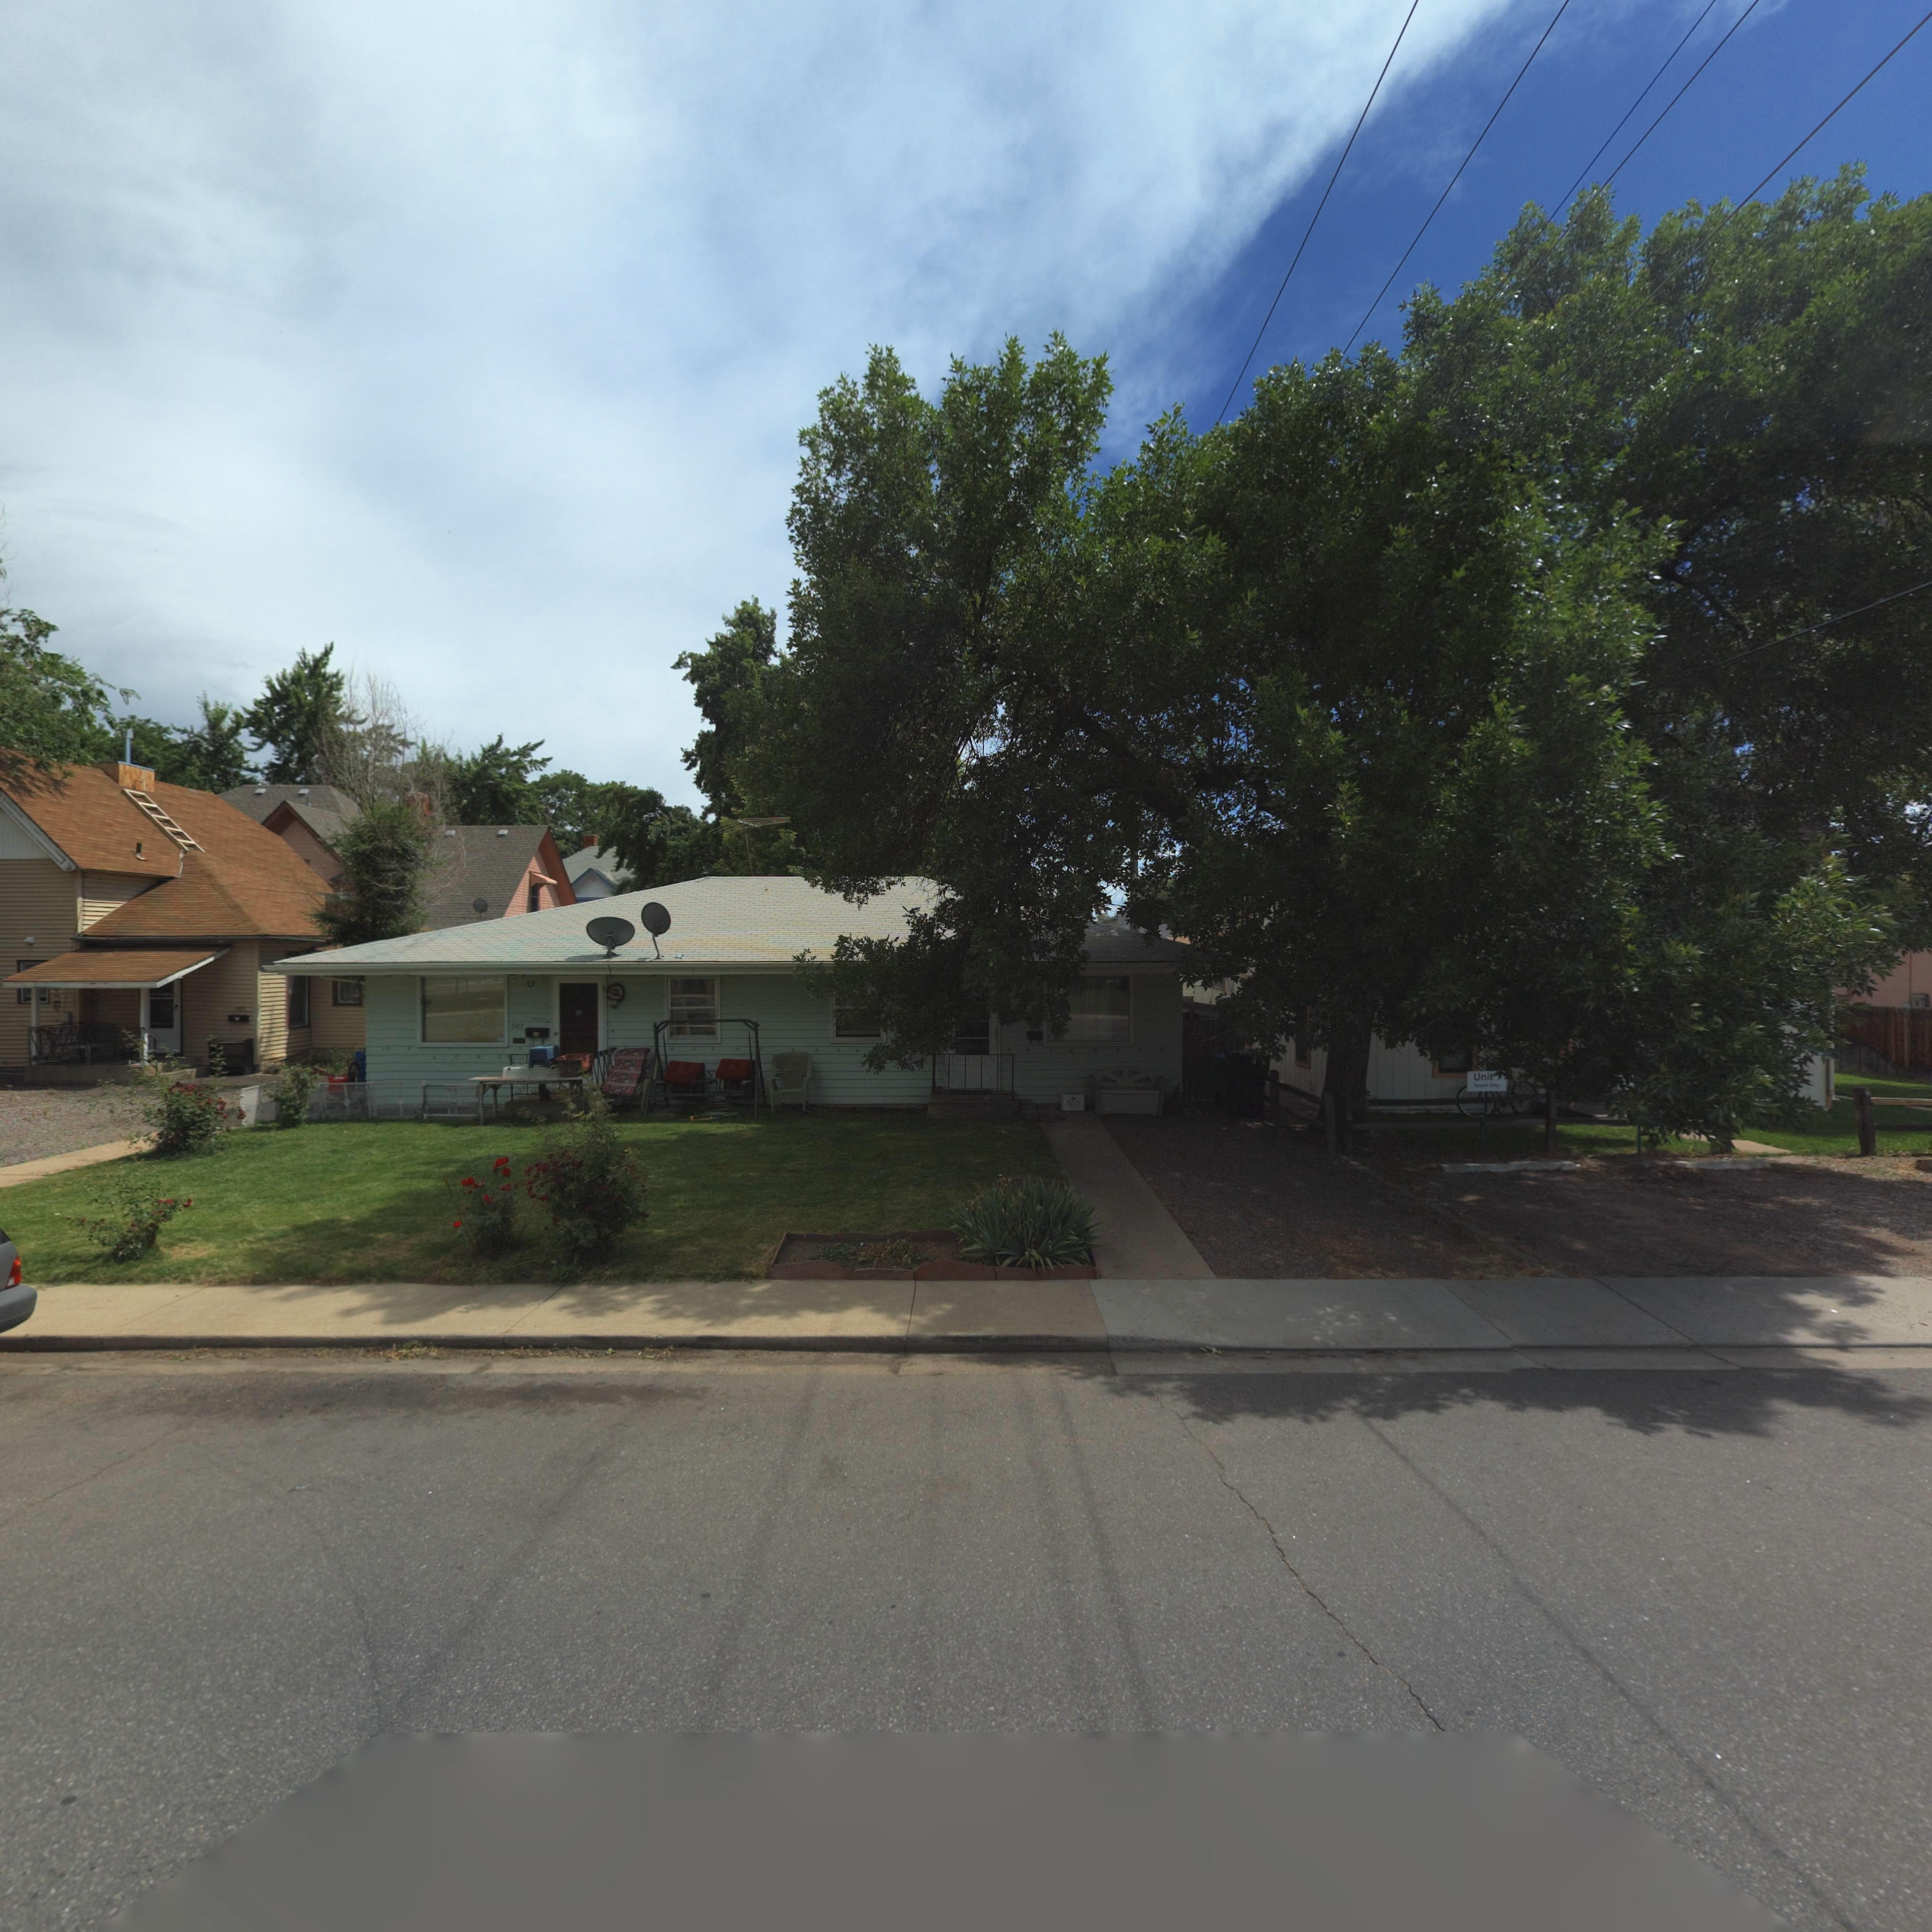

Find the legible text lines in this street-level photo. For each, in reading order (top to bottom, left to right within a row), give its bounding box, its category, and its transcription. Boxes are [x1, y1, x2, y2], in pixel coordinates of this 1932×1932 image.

[234, 1005, 246, 1012] StreetNumber: 50*
[511, 1022, 524, 1029] StreetNumber: 507
[1473, 1072, 1493, 1081] StreetNumberRange: Unit